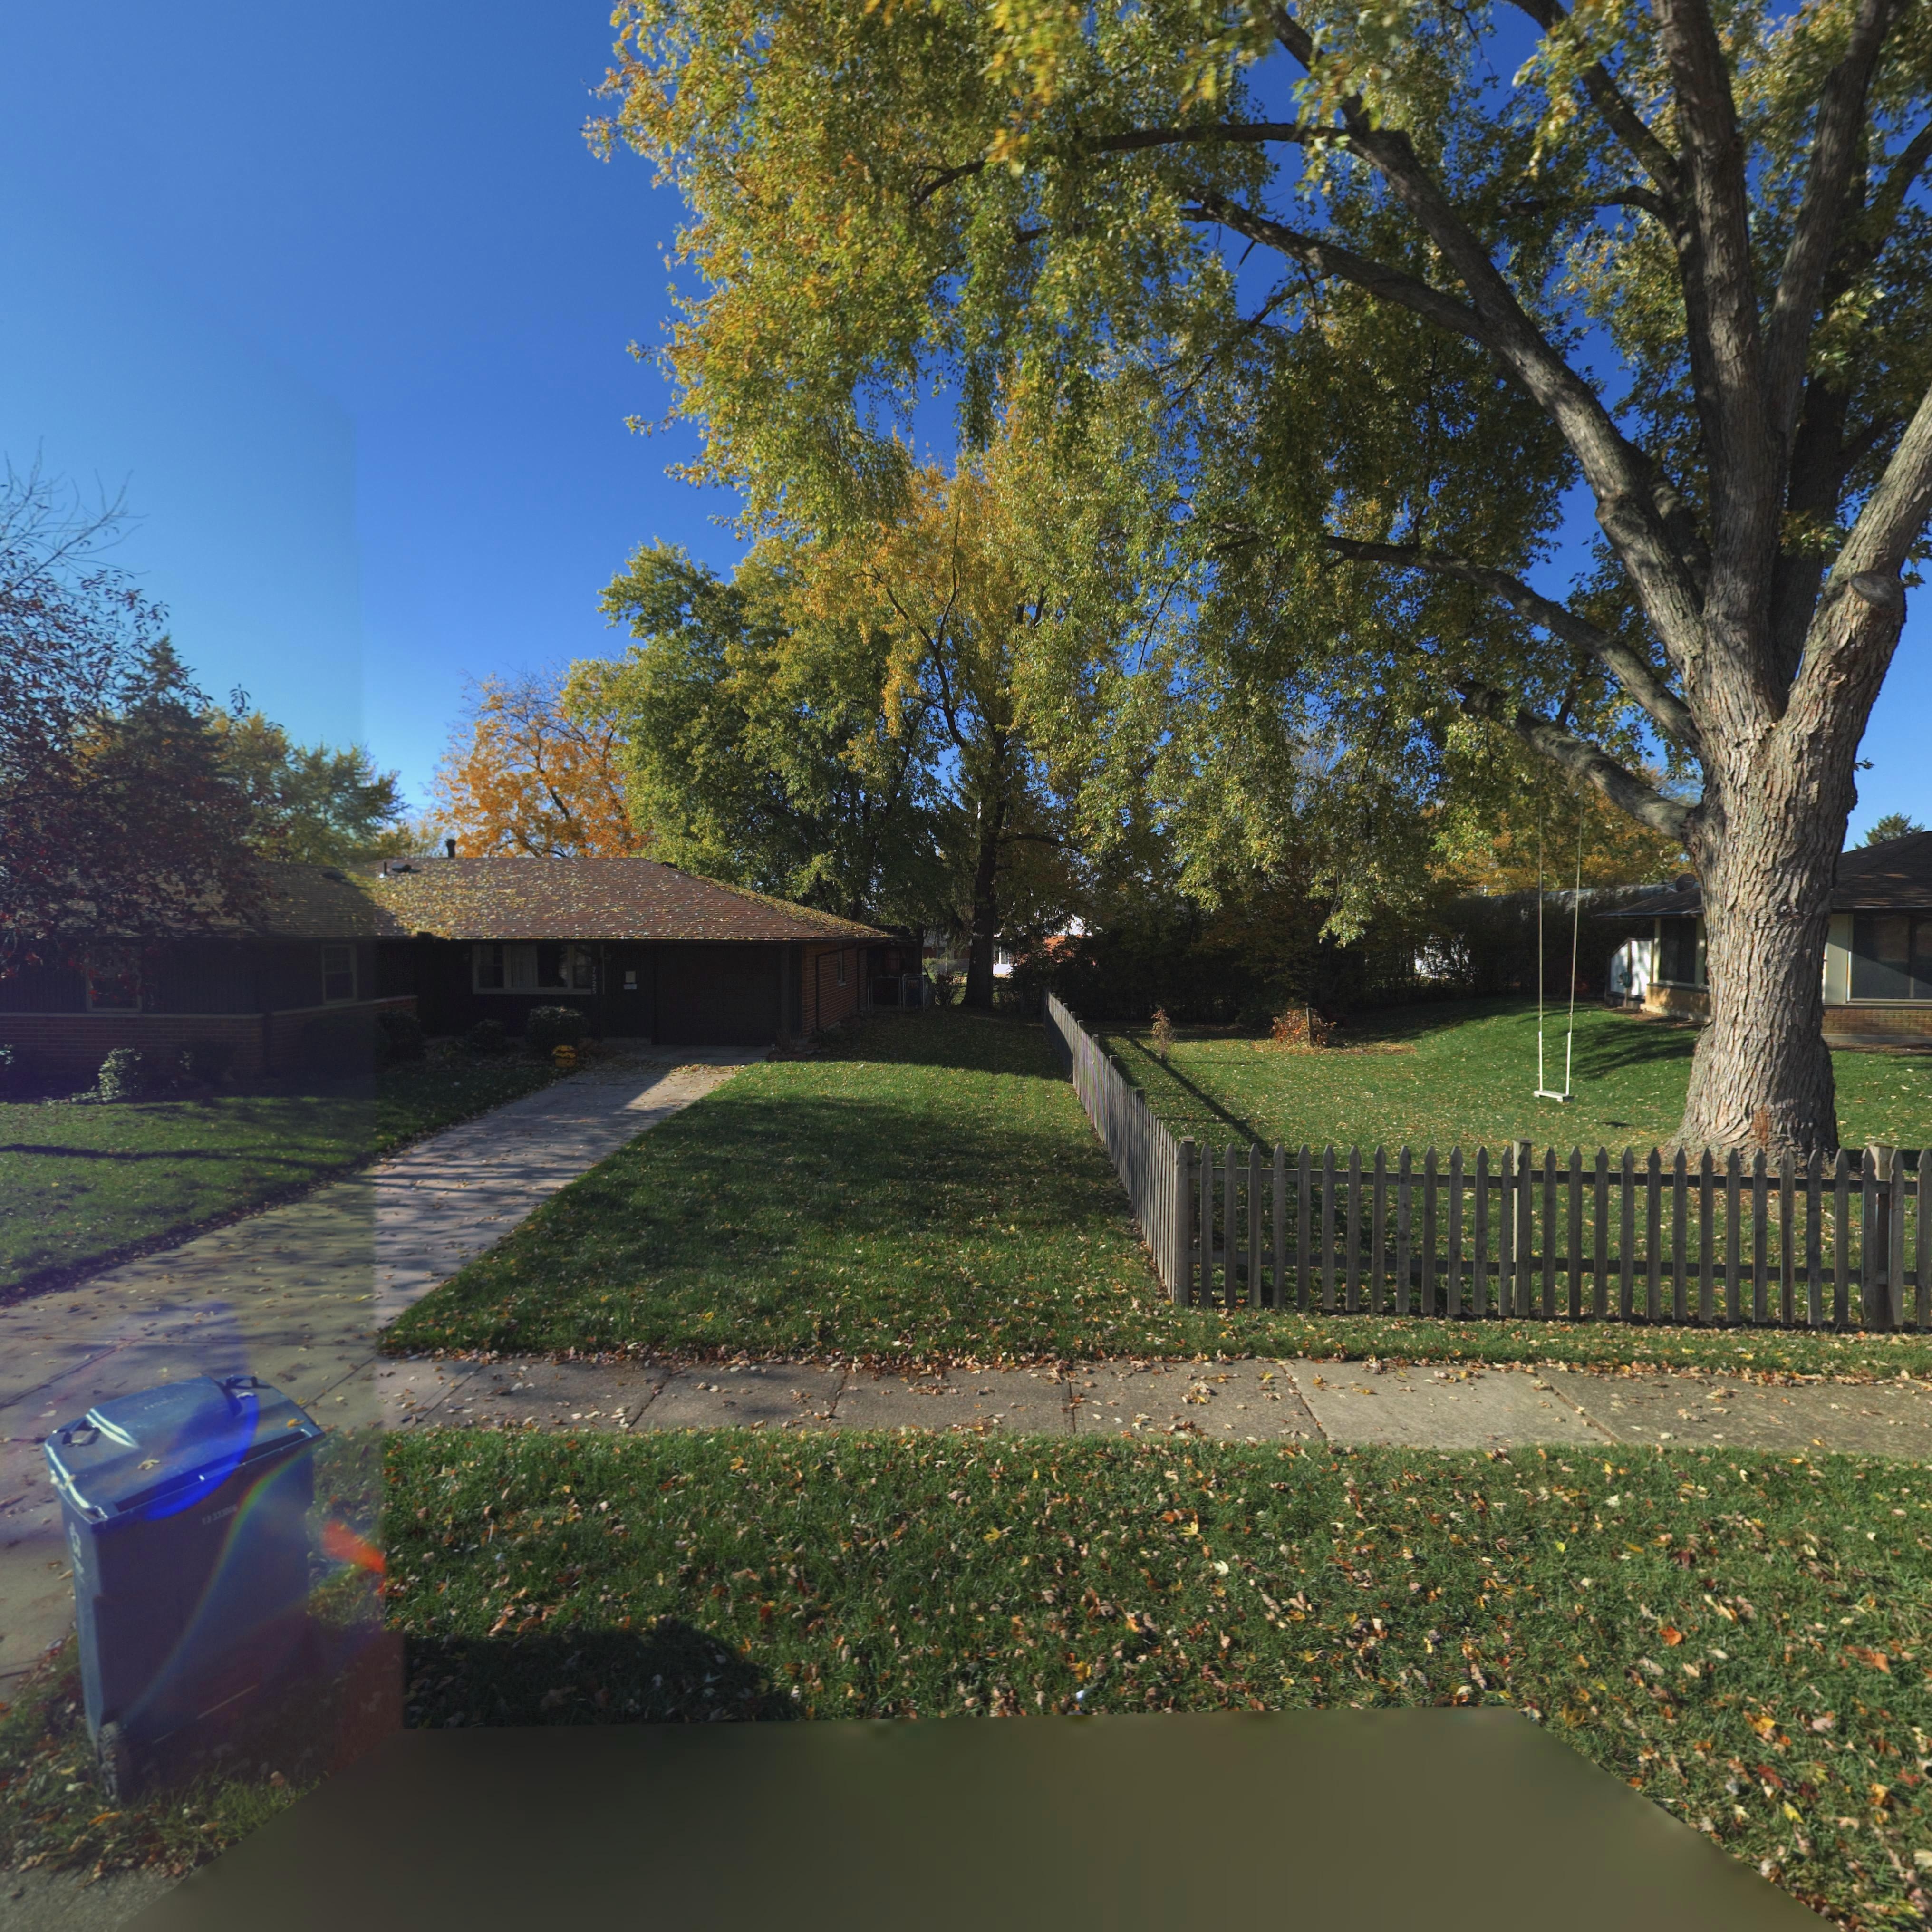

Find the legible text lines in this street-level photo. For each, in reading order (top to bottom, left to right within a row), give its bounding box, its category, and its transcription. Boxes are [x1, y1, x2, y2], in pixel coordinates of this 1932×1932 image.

[591, 966, 598, 995] StreetNumber: 7525